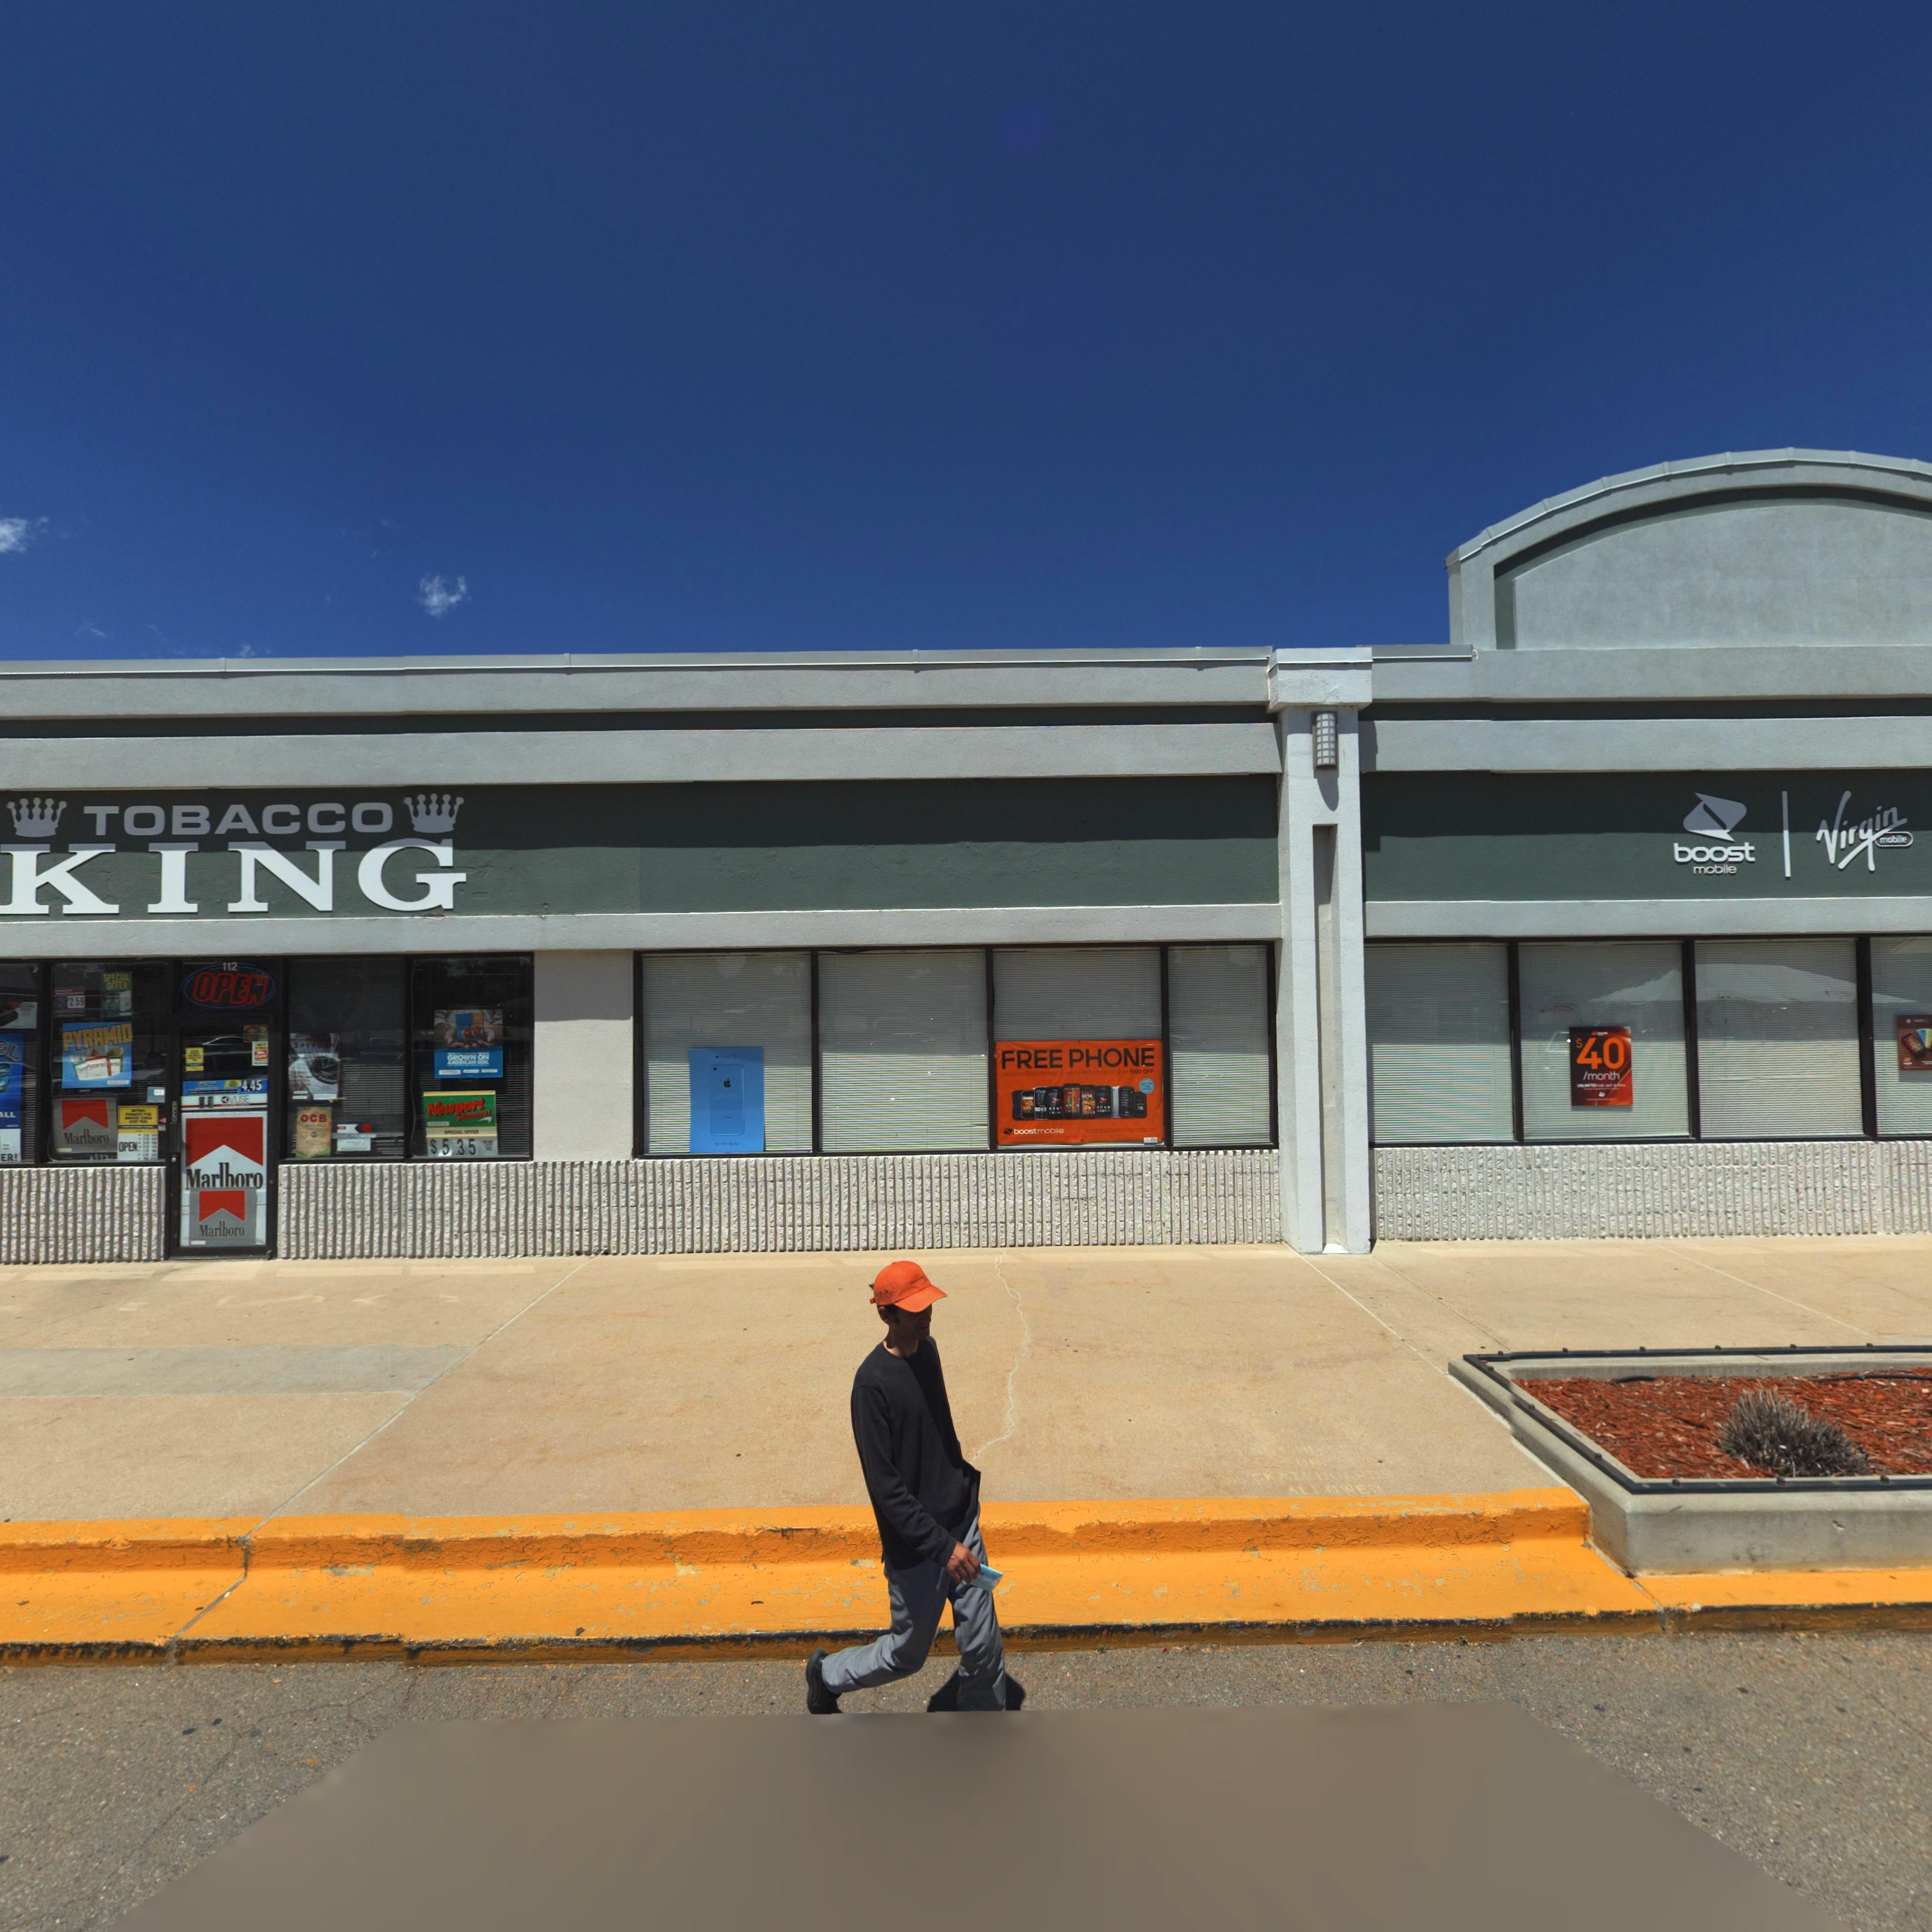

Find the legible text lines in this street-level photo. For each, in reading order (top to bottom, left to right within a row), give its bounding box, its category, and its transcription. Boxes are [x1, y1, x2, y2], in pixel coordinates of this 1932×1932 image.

[82, 802, 393, 836] BusinessName: TOBACCO
[1815, 790, 1909, 872] BusinessName: Virgin
[1879, 834, 1907, 843] BusinessName: mobile
[1673, 841, 1756, 863] BusinessName: boost
[146, 837, 467, 913] BusinessName: ING
[1693, 863, 1738, 874] BusinessName: mobile
[222, 961, 237, 970] StreetNumber: 112
[1013, 1127, 1064, 1134] BusinessName: boost mobile